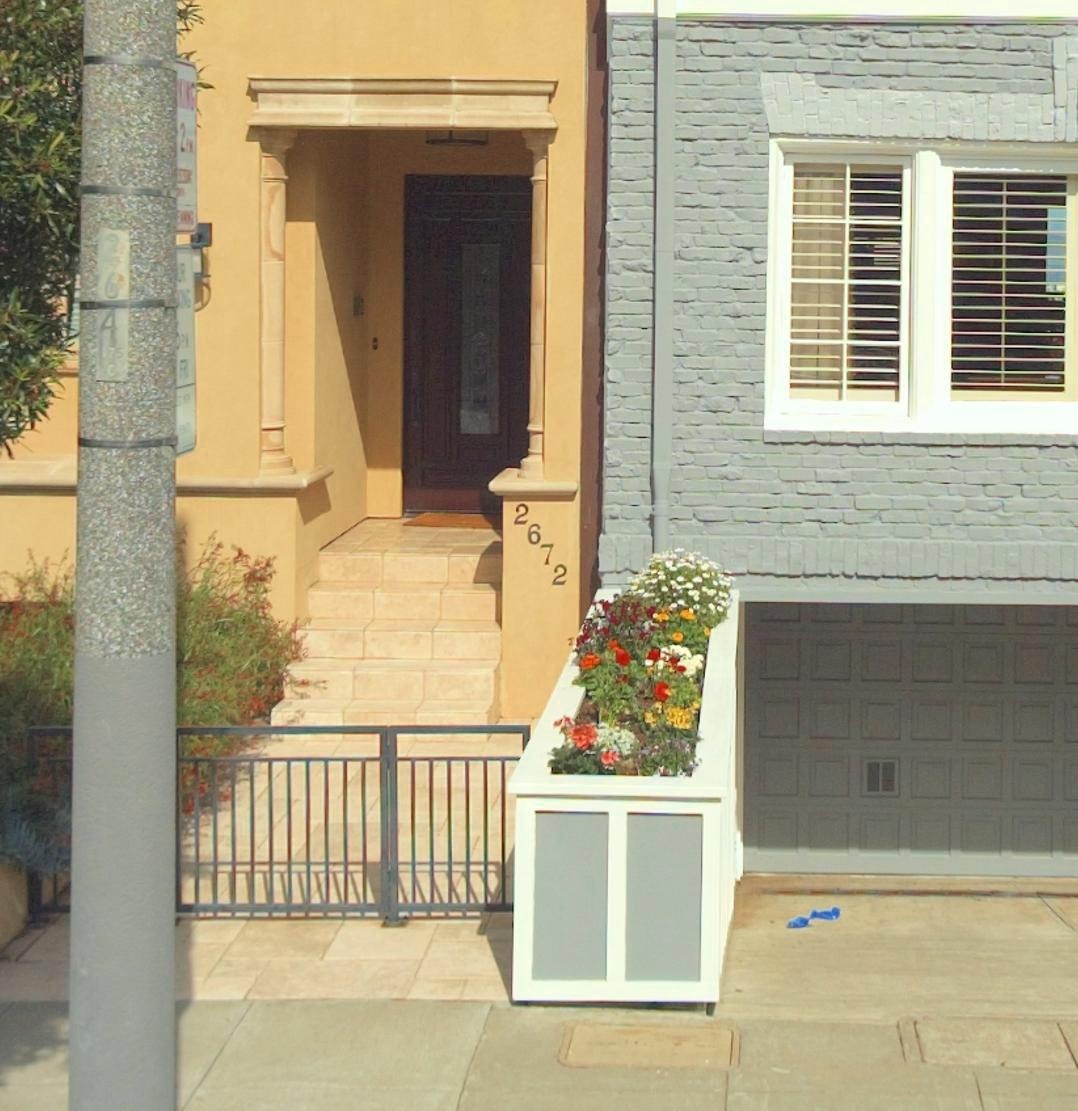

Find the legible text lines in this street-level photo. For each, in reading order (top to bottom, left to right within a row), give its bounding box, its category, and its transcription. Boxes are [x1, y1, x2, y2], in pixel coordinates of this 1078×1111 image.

[177, 120, 189, 156] None: 2
[179, 260, 188, 284] None: R
[97, 230, 124, 344] None: 264
[183, 287, 194, 310] None: G
[97, 343, 126, 362] None: 175
[104, 362, 118, 379] None: C
[511, 501, 569, 588] StreetNumber: 2672